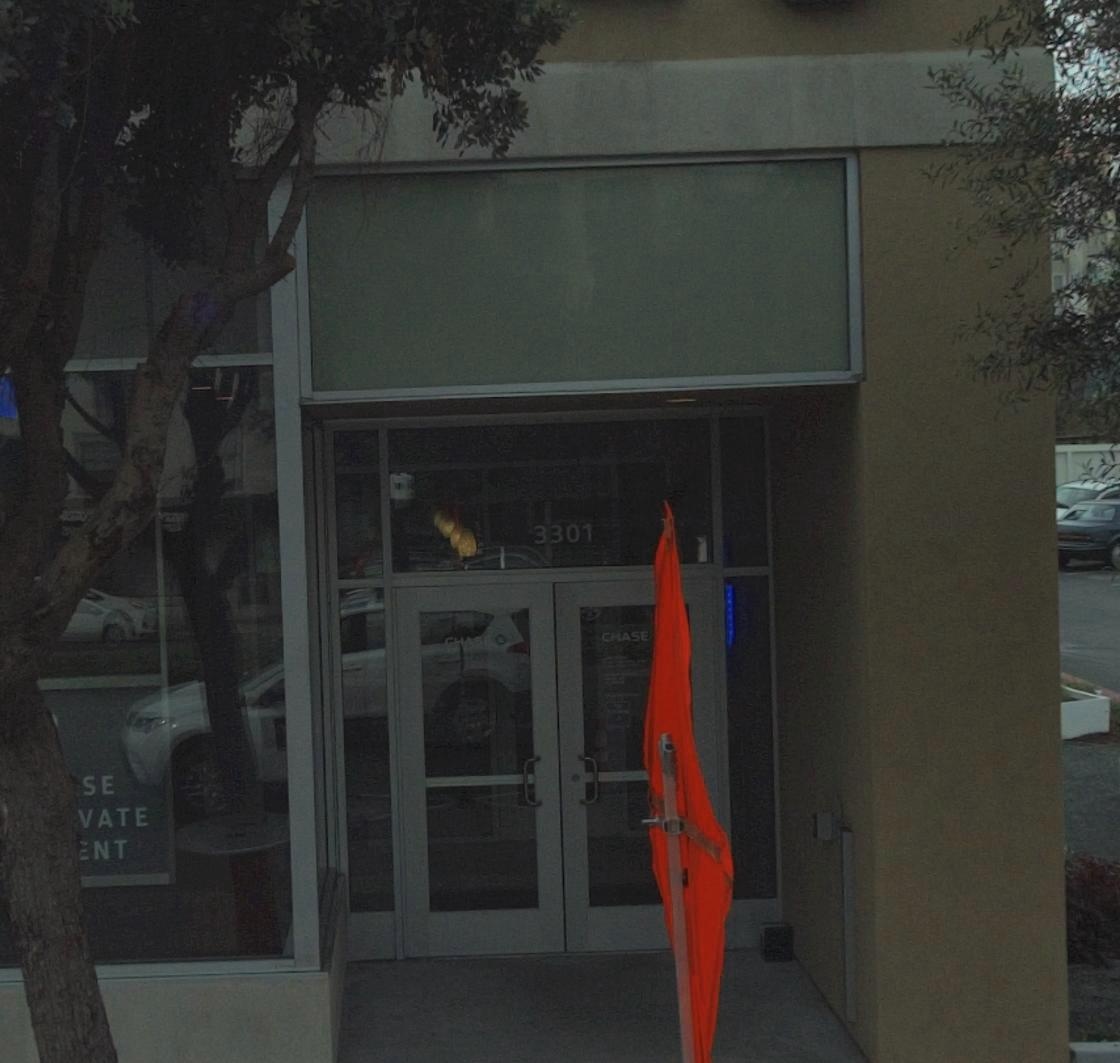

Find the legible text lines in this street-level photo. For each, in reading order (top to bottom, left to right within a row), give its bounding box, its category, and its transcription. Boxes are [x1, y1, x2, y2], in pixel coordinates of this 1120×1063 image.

[532, 522, 594, 546] StreetNumber: 3301
[445, 635, 494, 648] BusinessName: CHASE
[601, 630, 650, 643] BusinessName: CHASE
[81, 775, 116, 797] None: SE
[76, 806, 149, 831] None: VATE
[93, 840, 127, 862] None: NT